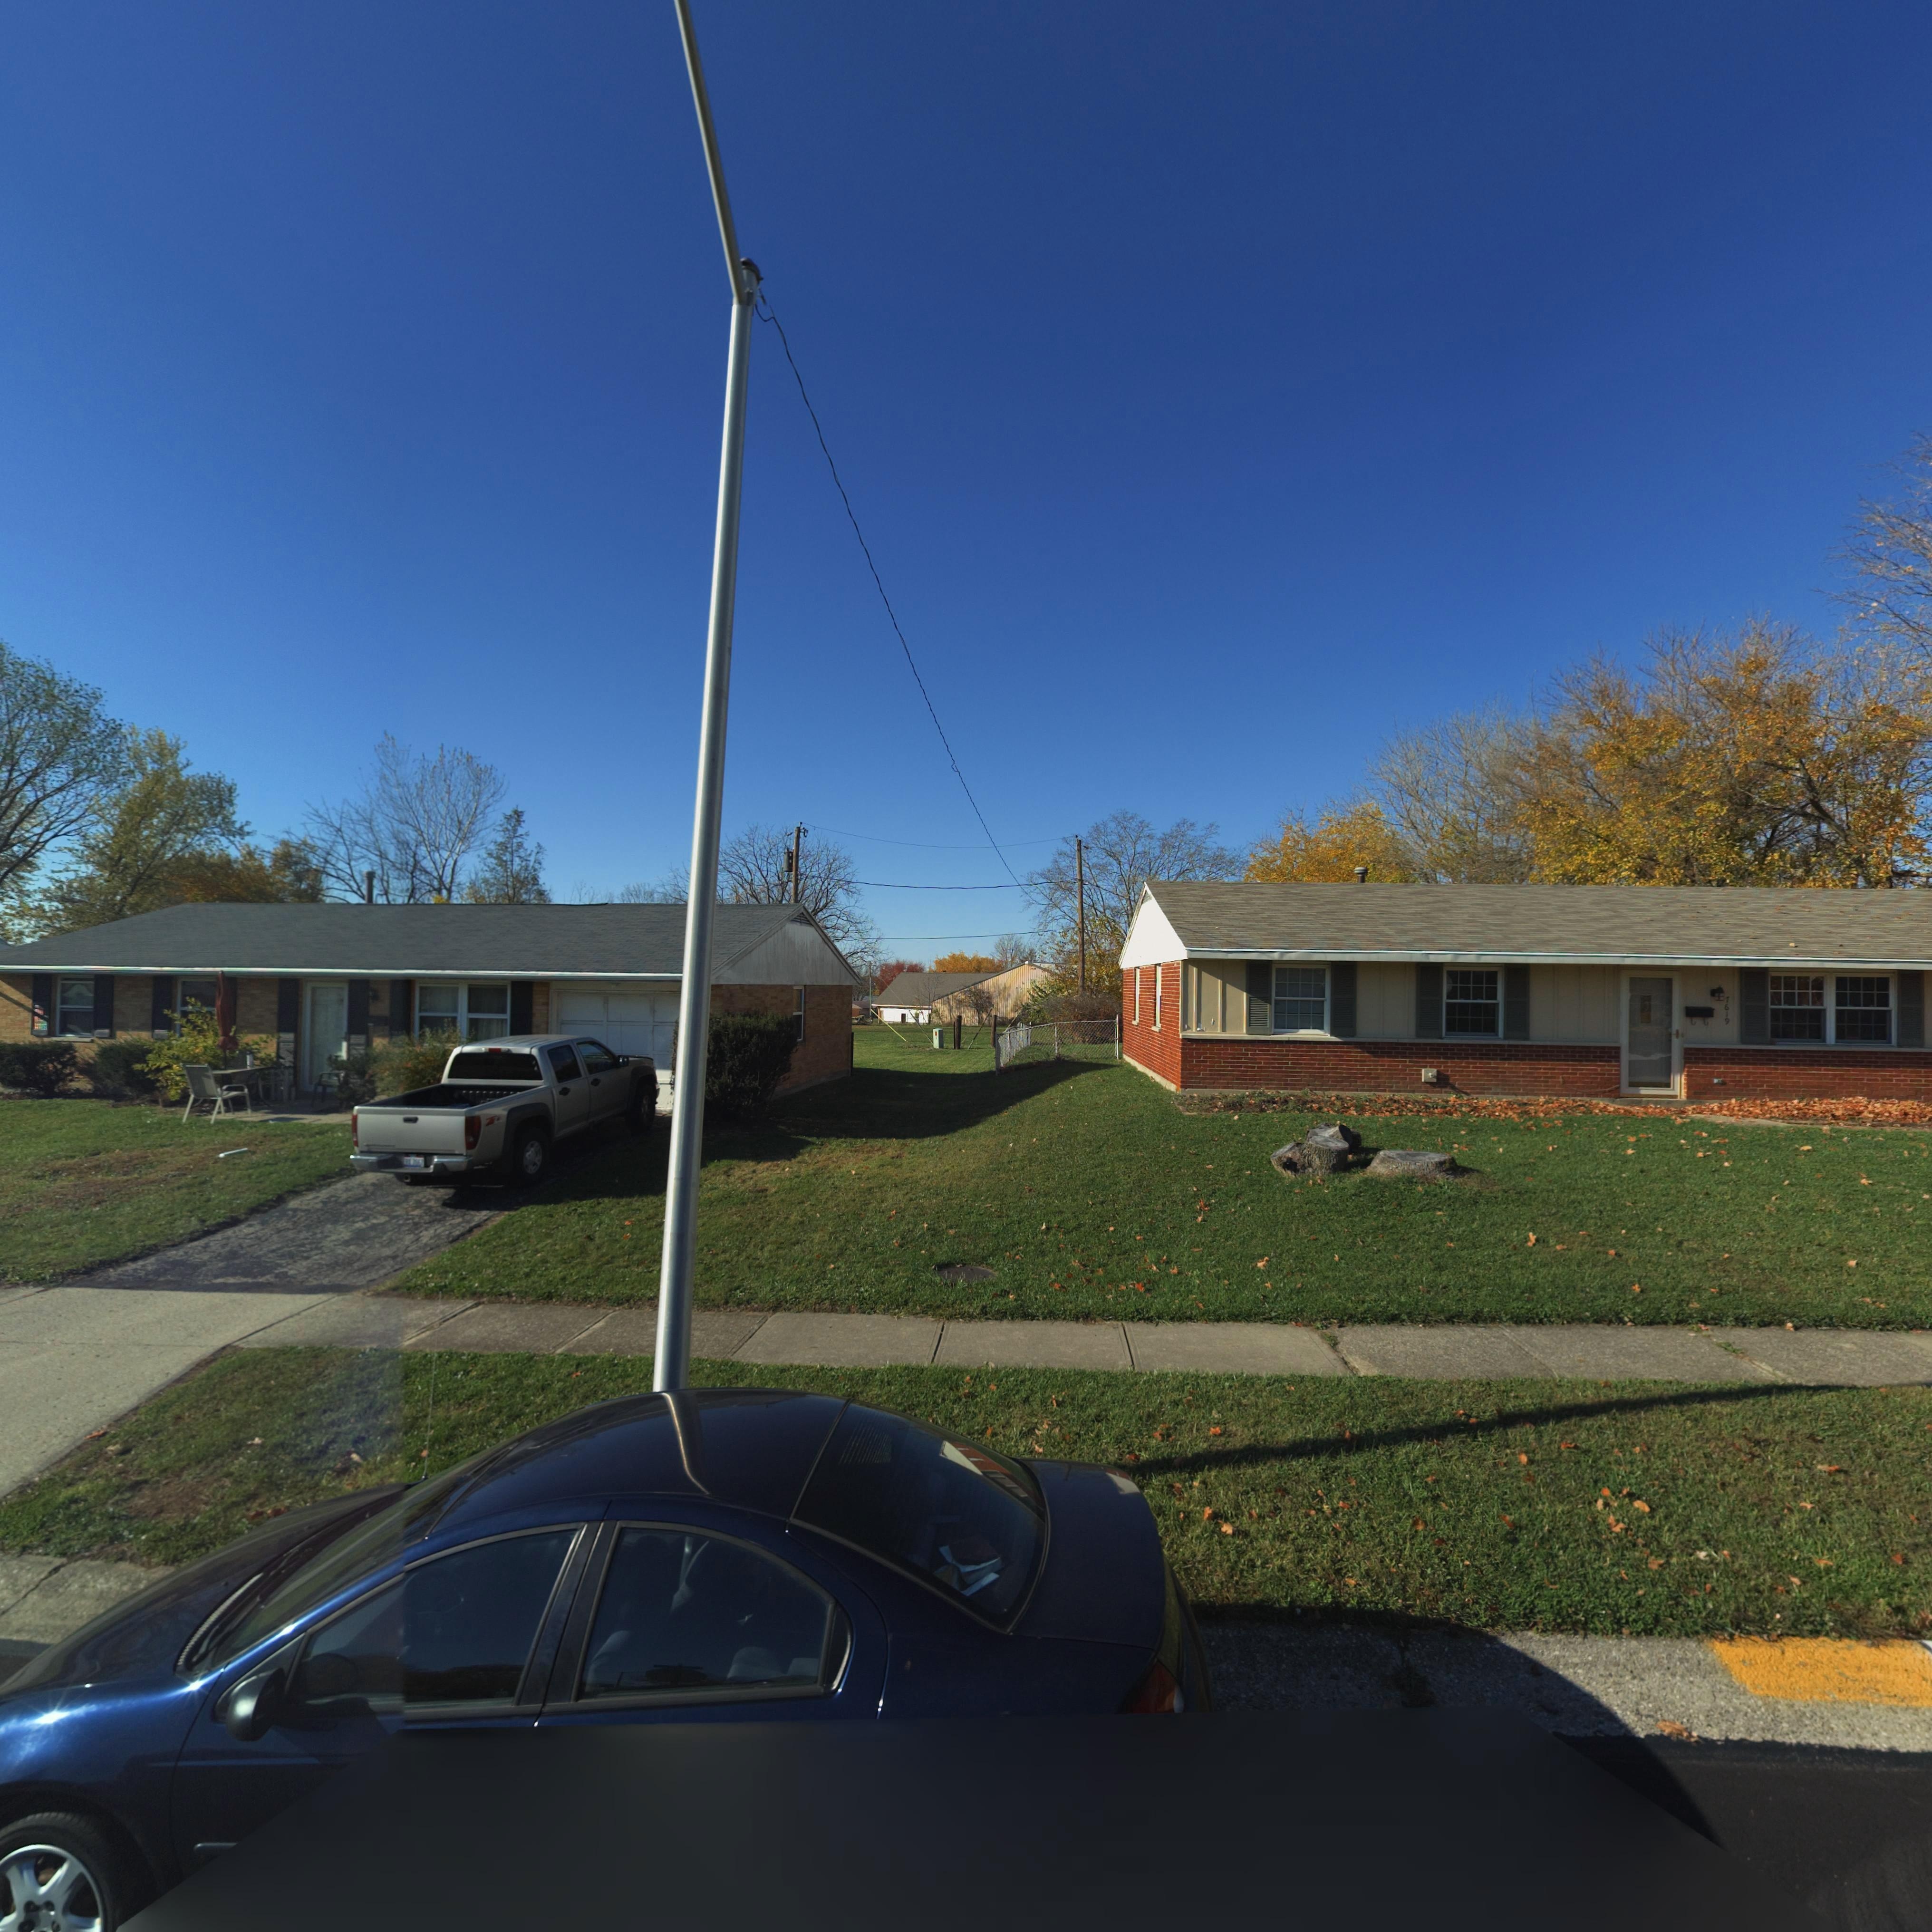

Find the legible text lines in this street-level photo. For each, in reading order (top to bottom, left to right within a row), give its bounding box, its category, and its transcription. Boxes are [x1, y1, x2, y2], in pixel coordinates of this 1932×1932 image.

[1723, 995, 1731, 1026] StreetNumber: 7619